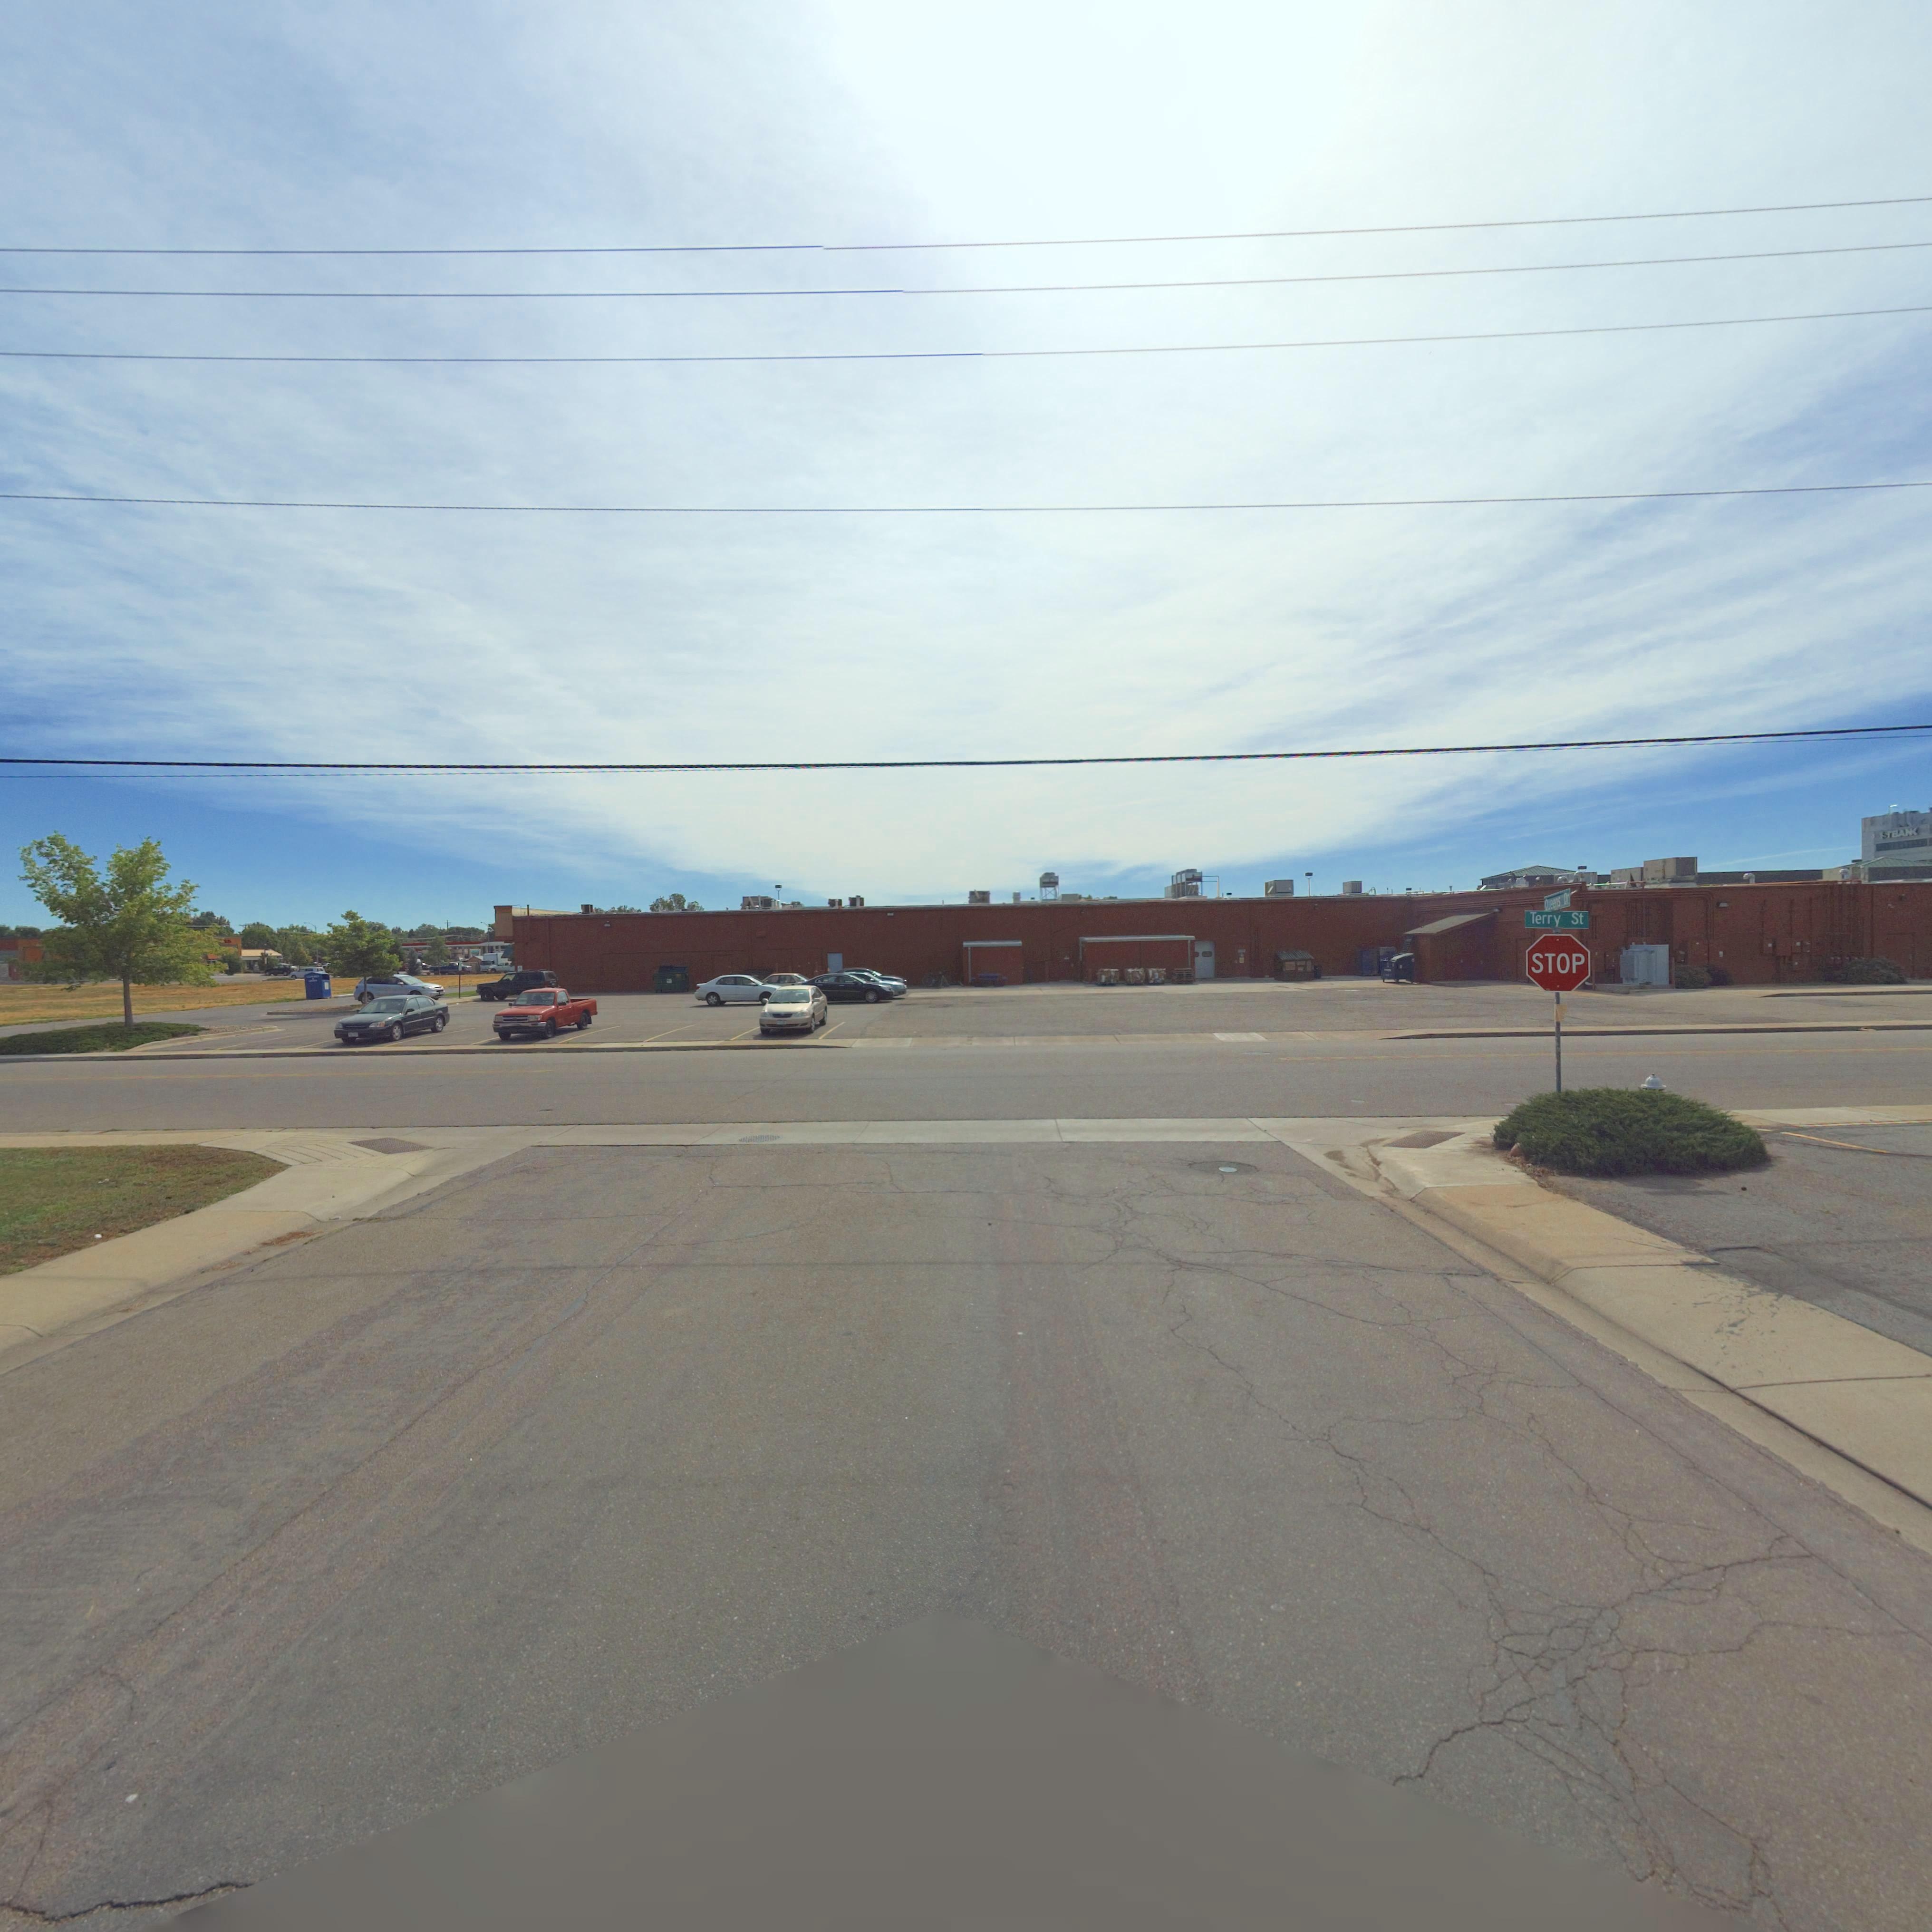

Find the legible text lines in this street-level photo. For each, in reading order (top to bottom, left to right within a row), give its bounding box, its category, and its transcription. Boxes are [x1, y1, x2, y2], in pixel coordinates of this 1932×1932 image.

[1878, 827, 1918, 840] BusinessName: 1S*BAN*
[1544, 891, 1570, 911] StreetName: Queens Dr
[1529, 911, 1585, 928] StreetName: Terry St